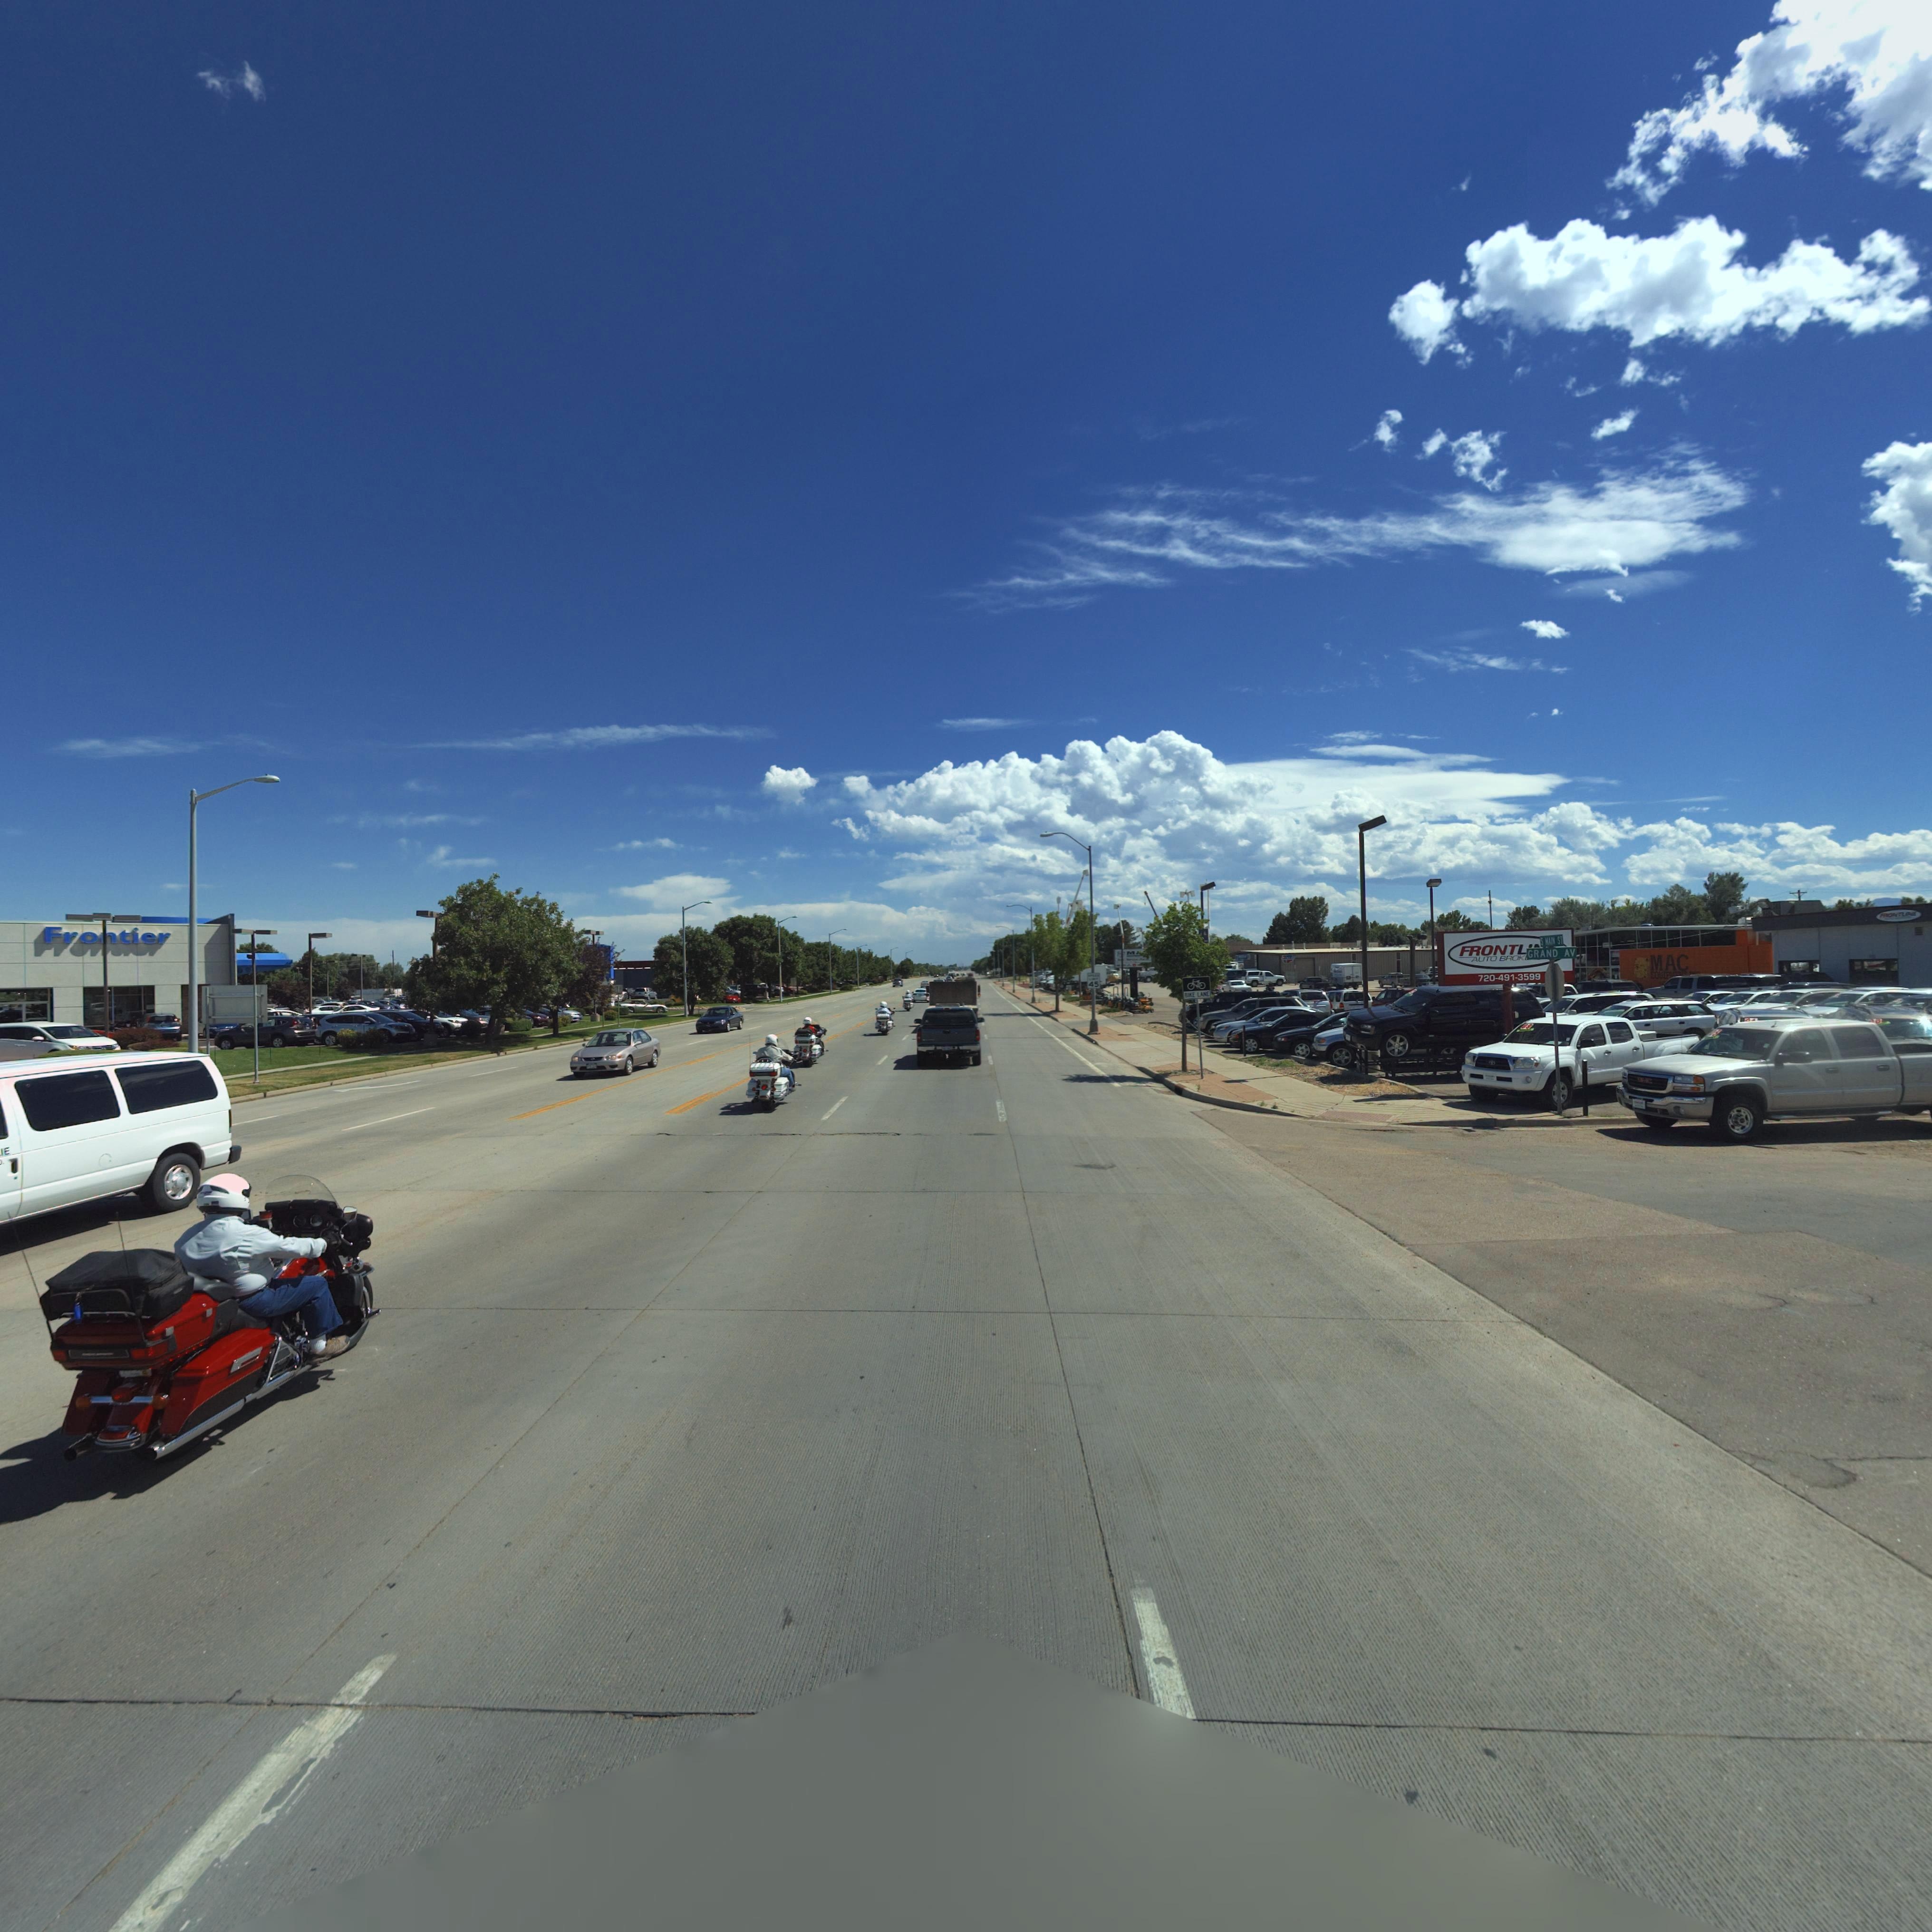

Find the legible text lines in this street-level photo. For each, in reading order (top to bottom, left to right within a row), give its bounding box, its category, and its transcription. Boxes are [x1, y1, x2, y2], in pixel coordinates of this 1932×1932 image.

[1880, 911, 1916, 918] BusinessName: F*O*TL***
[44, 926, 172, 944] BusinessName: Fro*tier
[1540, 935, 1563, 946] StreetName: S MAIN ST
[1127, 950, 1135, 955] BusinessName: M
[1459, 944, 1526, 956] BusinessName: FRONTL
[1527, 948, 1575, 958] StreetName: GRAND AV
[1650, 954, 1689, 971] BusinessName: MAC
[1650, 971, 1671, 979] BusinessName: EQUIP